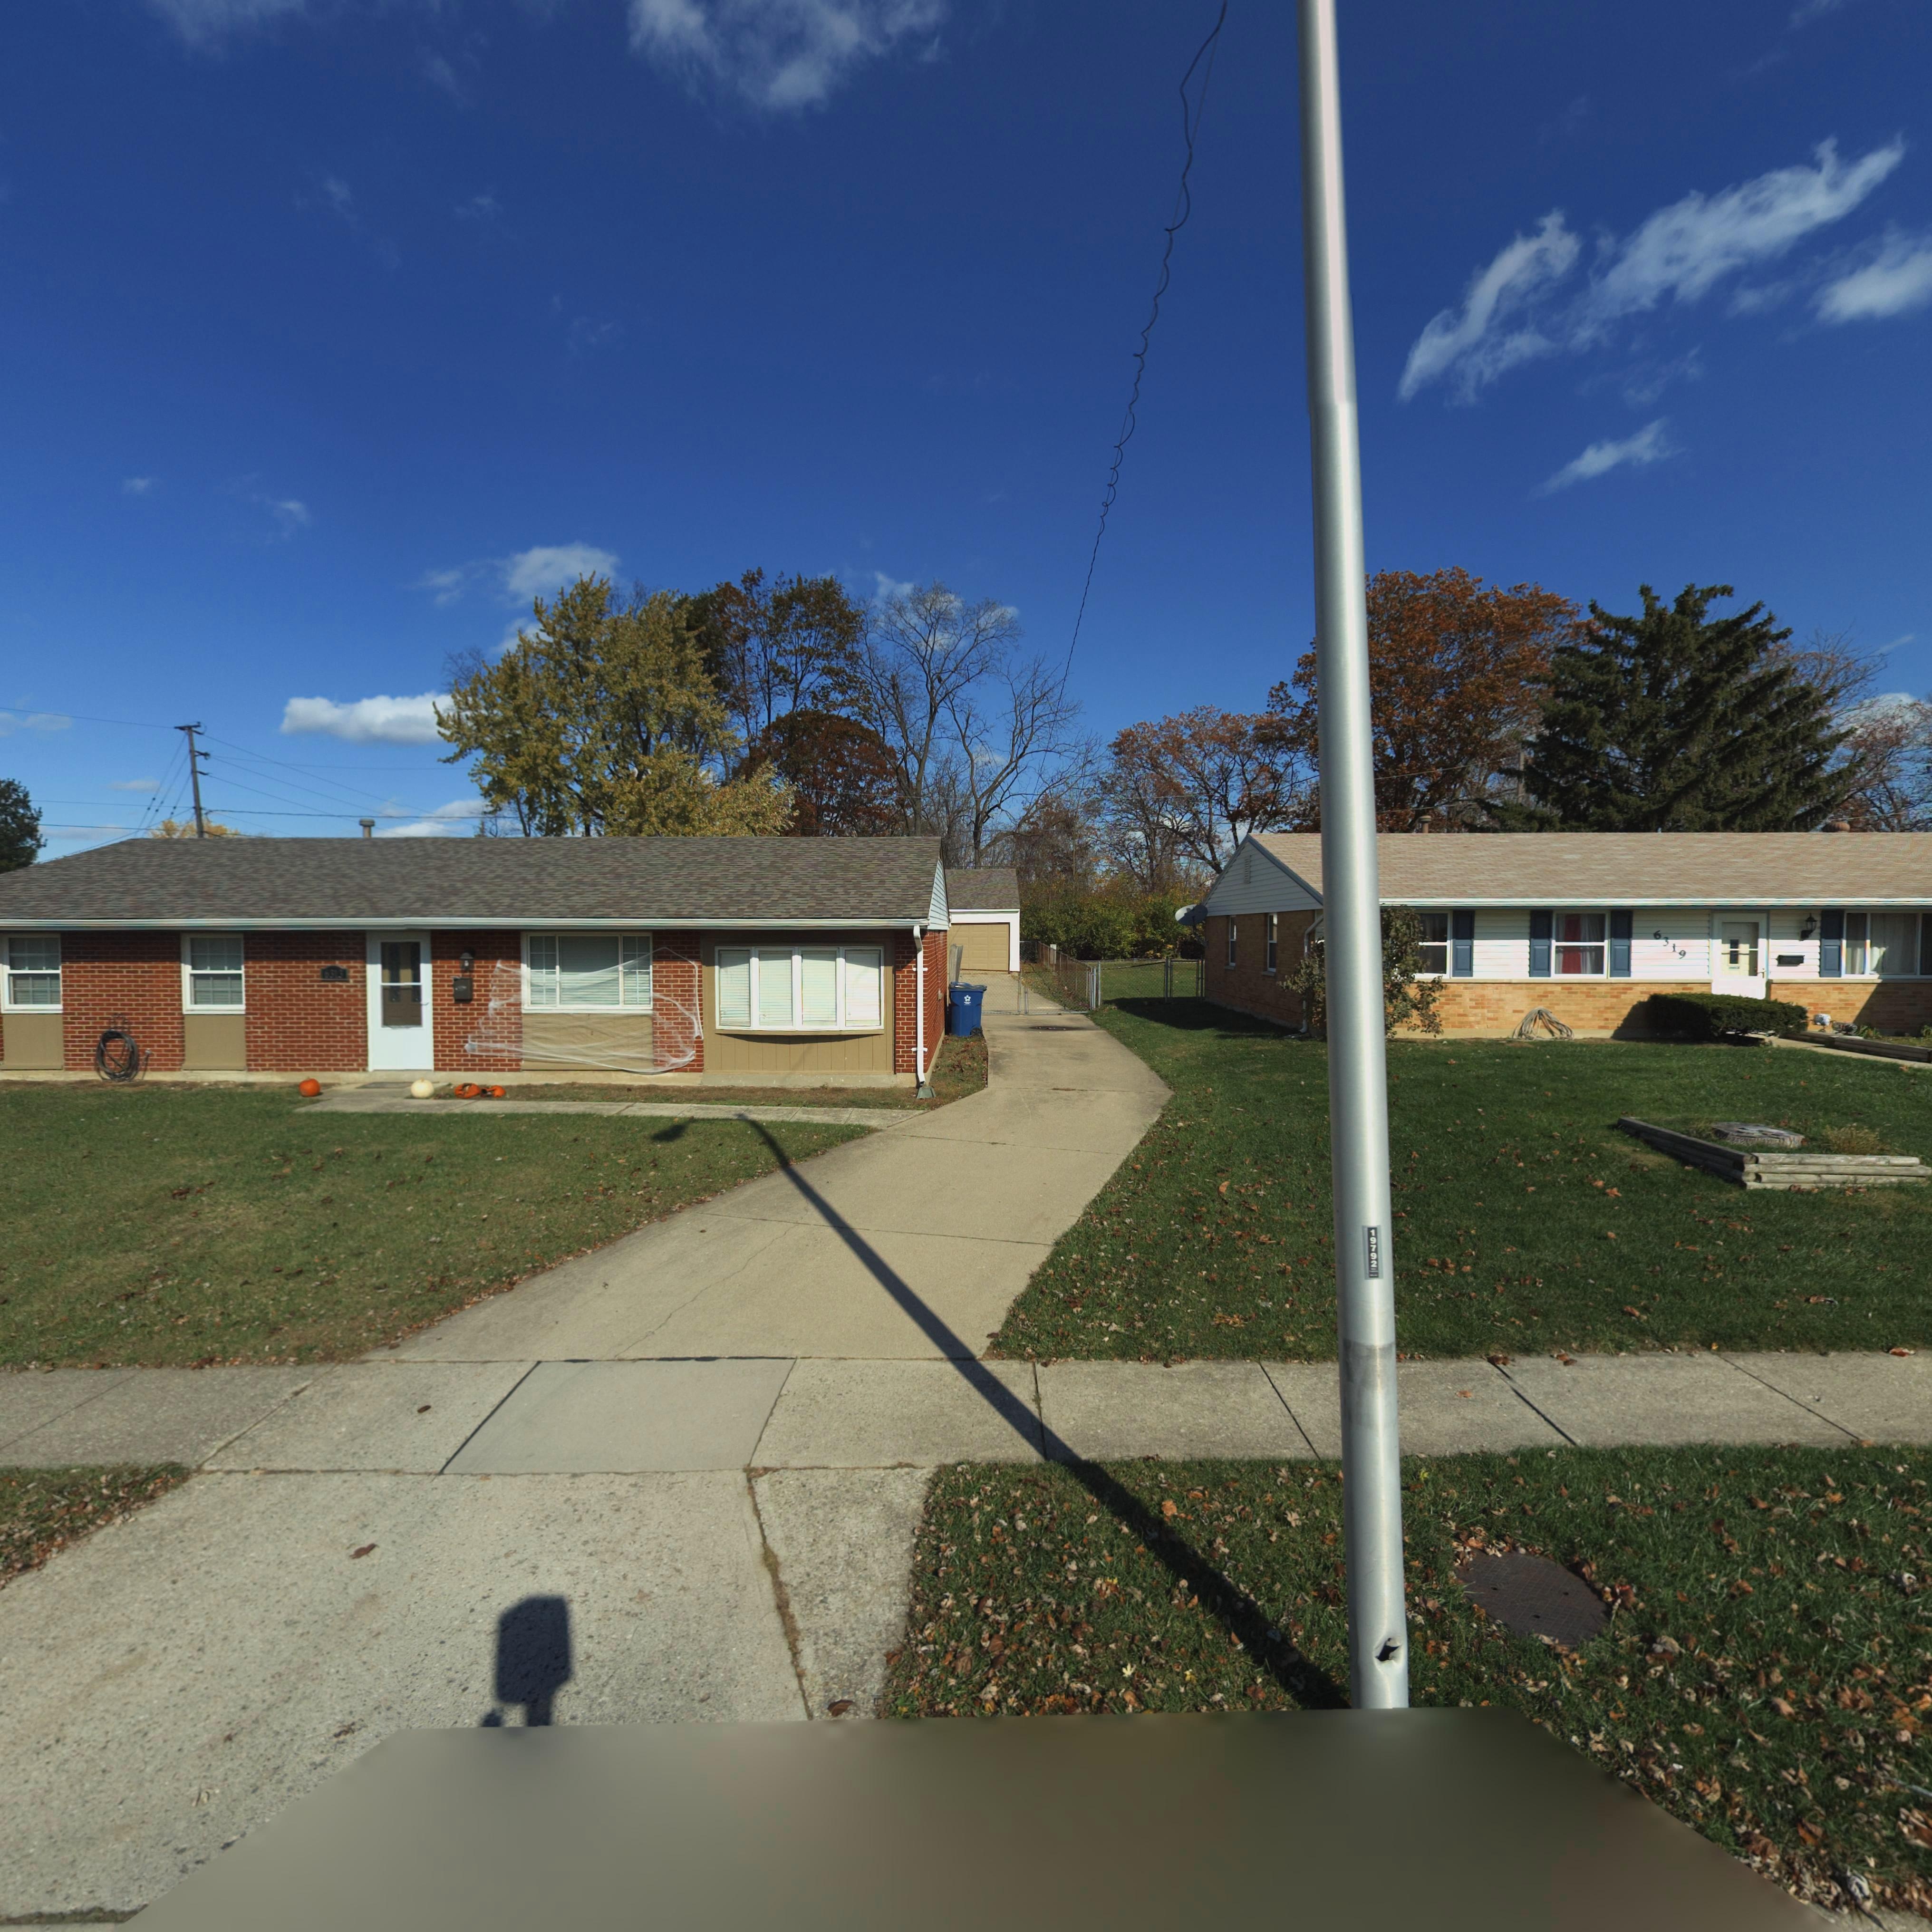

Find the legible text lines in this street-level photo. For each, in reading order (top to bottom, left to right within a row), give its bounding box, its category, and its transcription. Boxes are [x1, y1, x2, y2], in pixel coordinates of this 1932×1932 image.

[1652, 929, 1687, 960] StreetNumber: 6319
[323, 969, 344, 979] StreetNumber: 6313